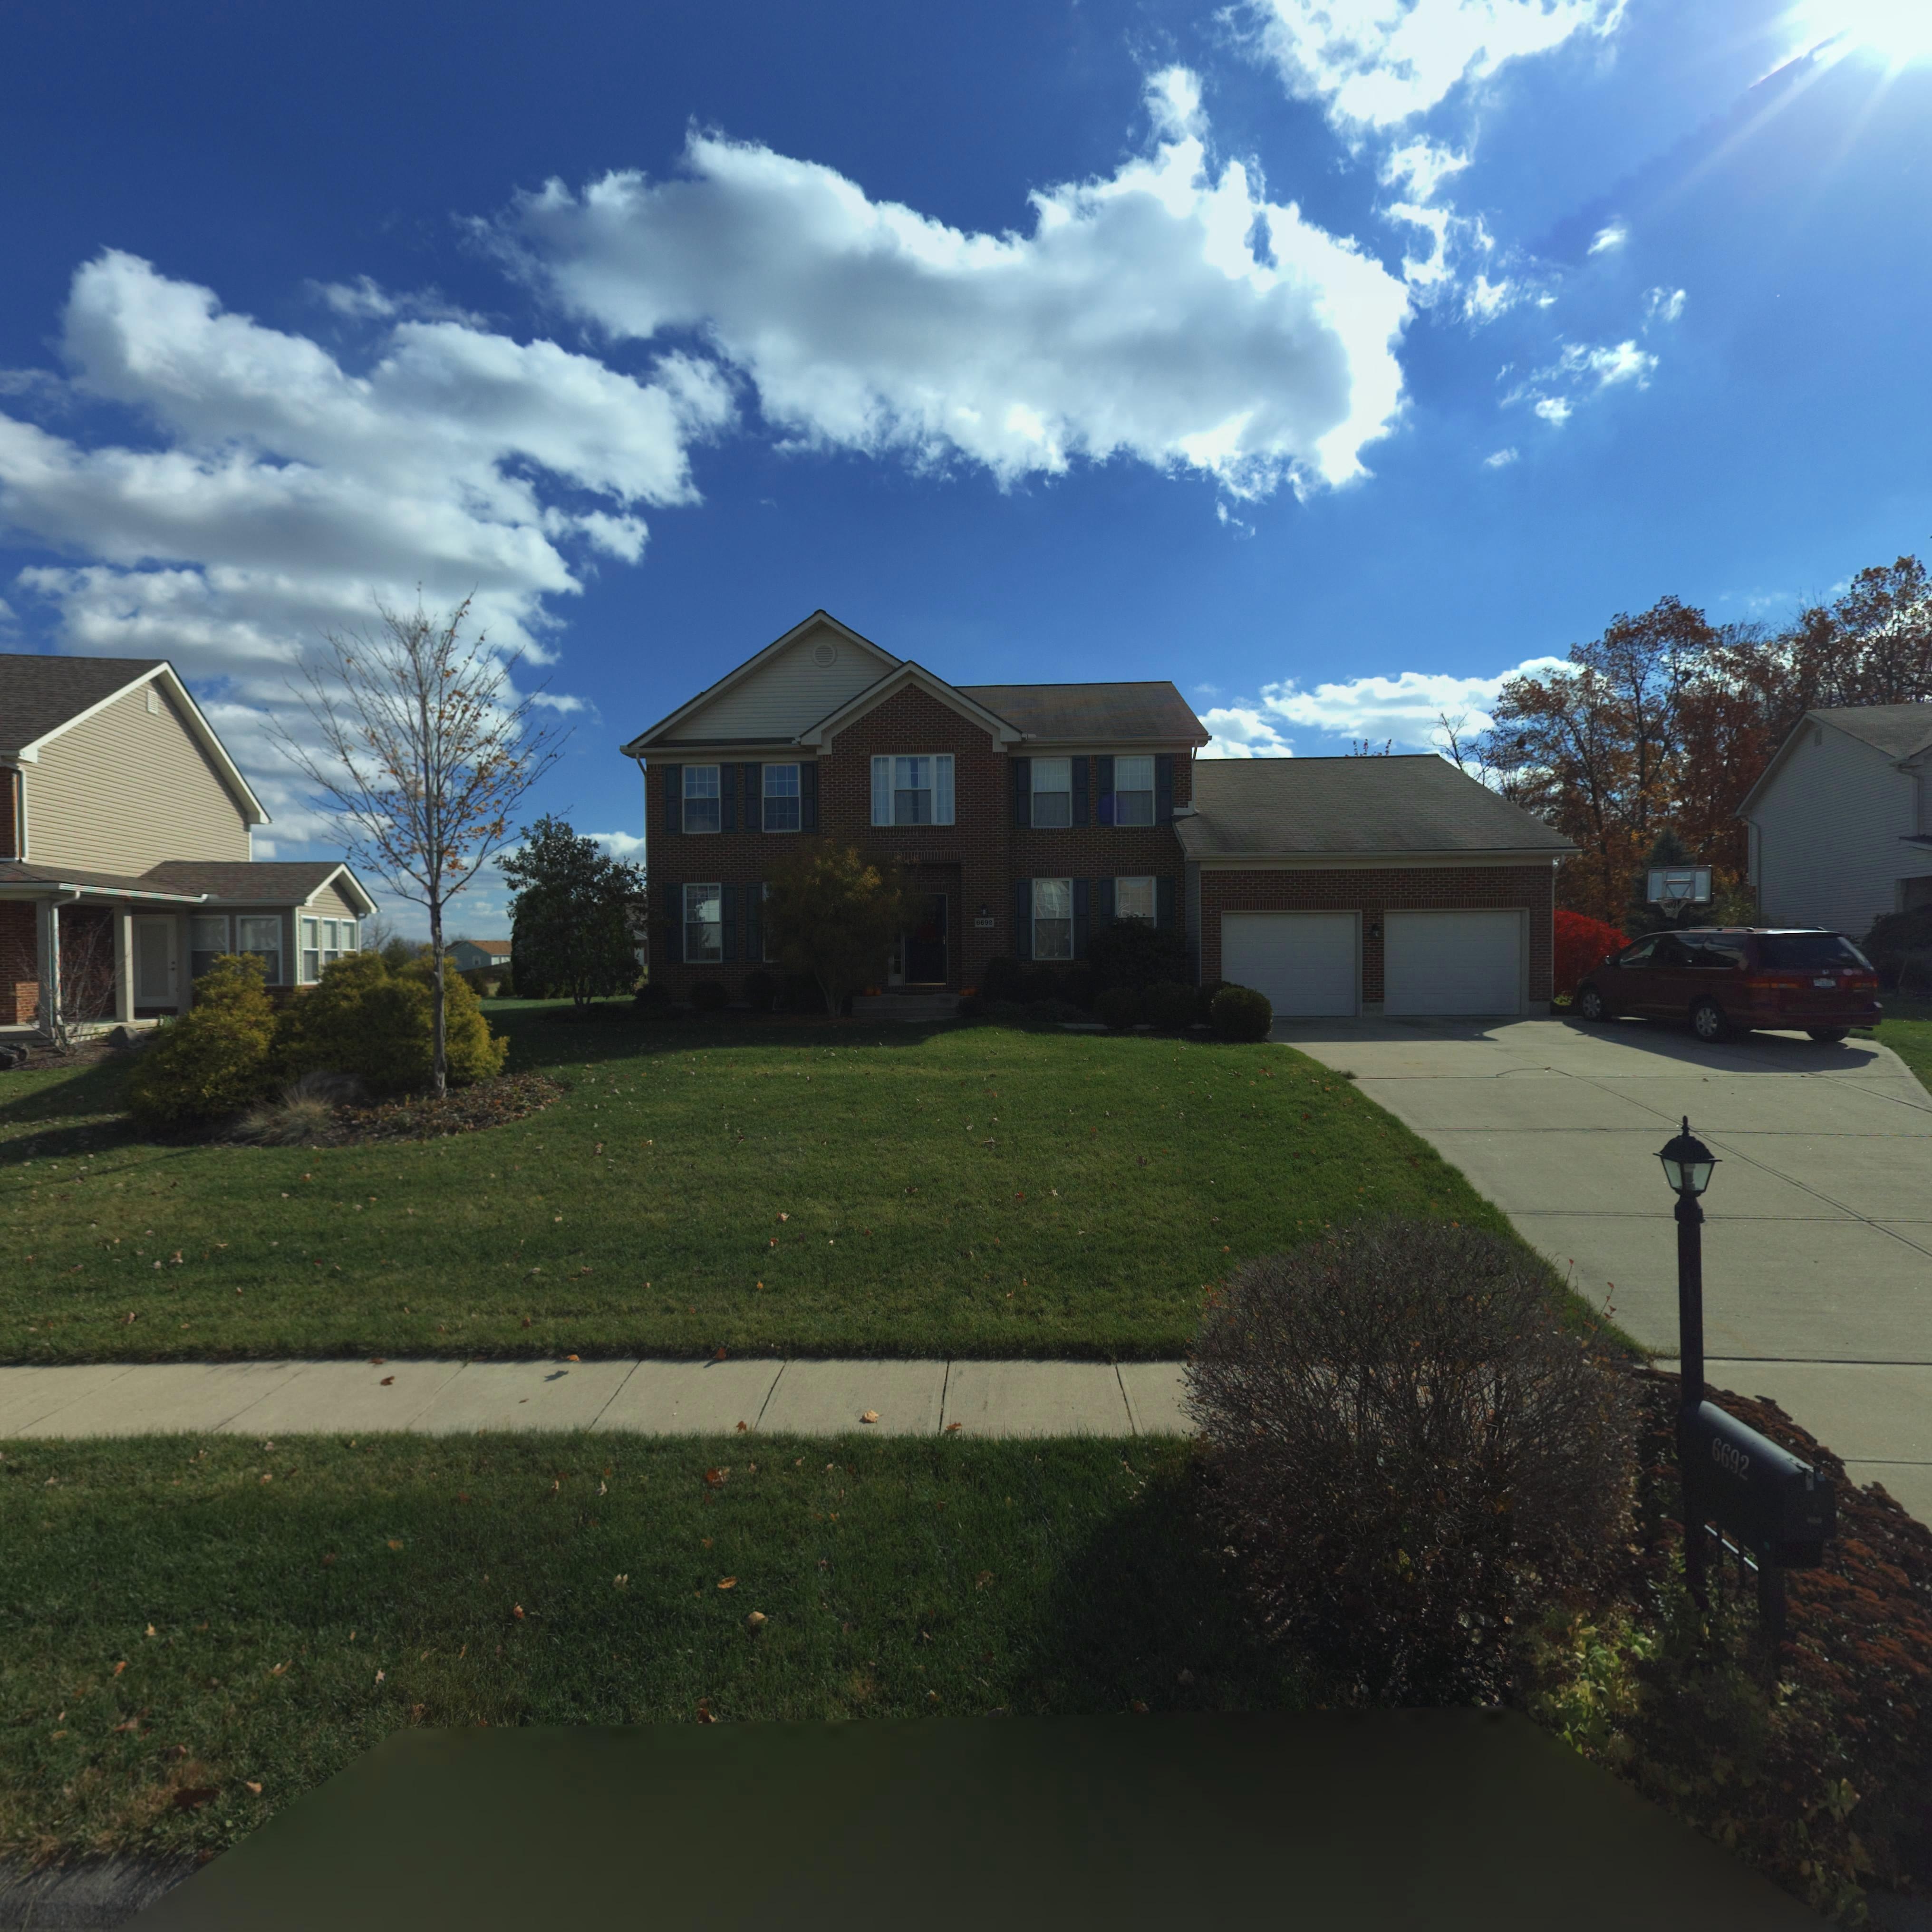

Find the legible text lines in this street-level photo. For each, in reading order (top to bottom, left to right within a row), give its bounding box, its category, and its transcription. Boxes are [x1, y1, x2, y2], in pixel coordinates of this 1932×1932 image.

[976, 919, 993, 926] StreetNumber: 6692
[1710, 1435, 1752, 1485] StreetNumber: 6692